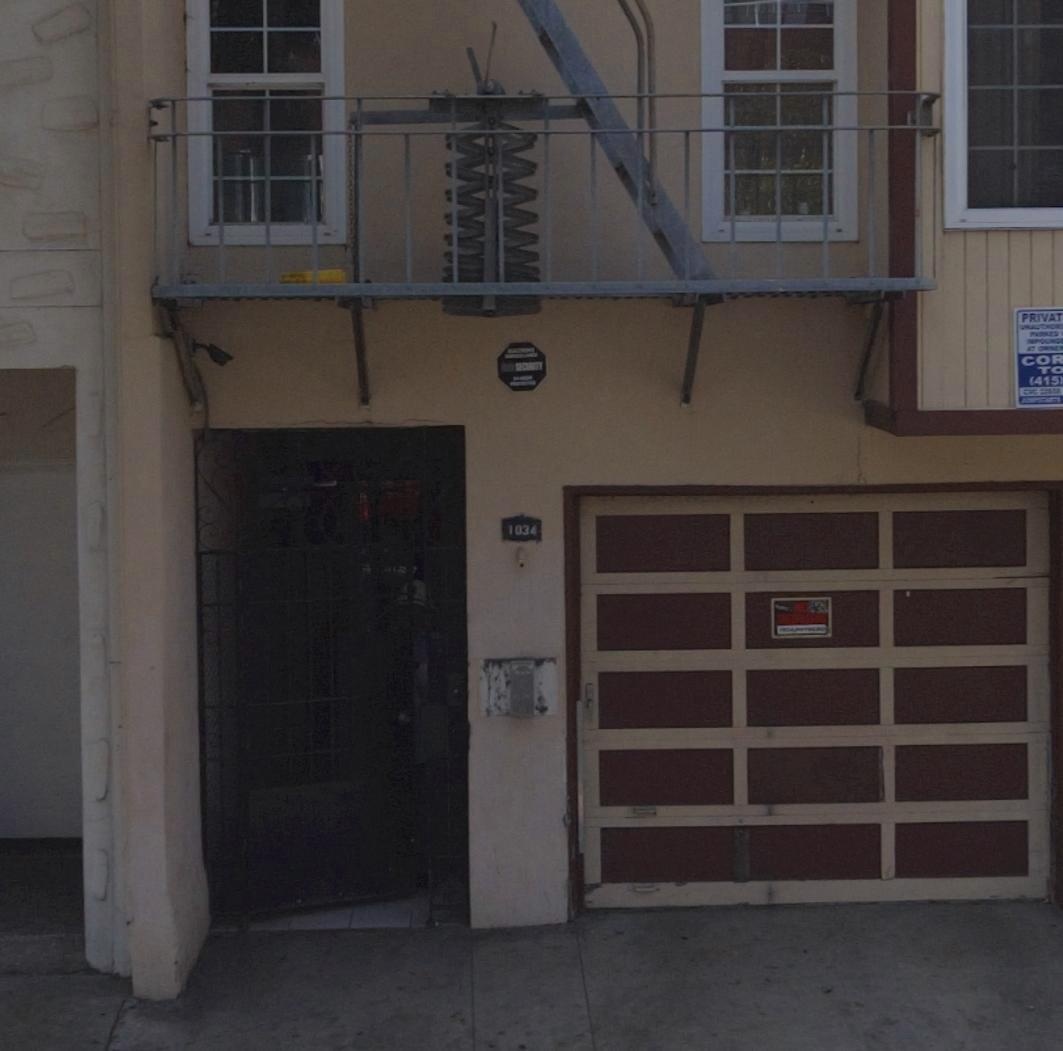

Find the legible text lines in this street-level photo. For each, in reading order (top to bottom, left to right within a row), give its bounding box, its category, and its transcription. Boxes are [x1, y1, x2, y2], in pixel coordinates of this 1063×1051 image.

[1021, 312, 1063, 324] None: PRIVAT
[1021, 354, 1063, 367] None: COR
[1036, 365, 1062, 374] None: TO
[1028, 375, 1063, 387] None: (415)
[508, 522, 538, 537] StreetNumber: 1034
[791, 599, 810, 612] None: NO